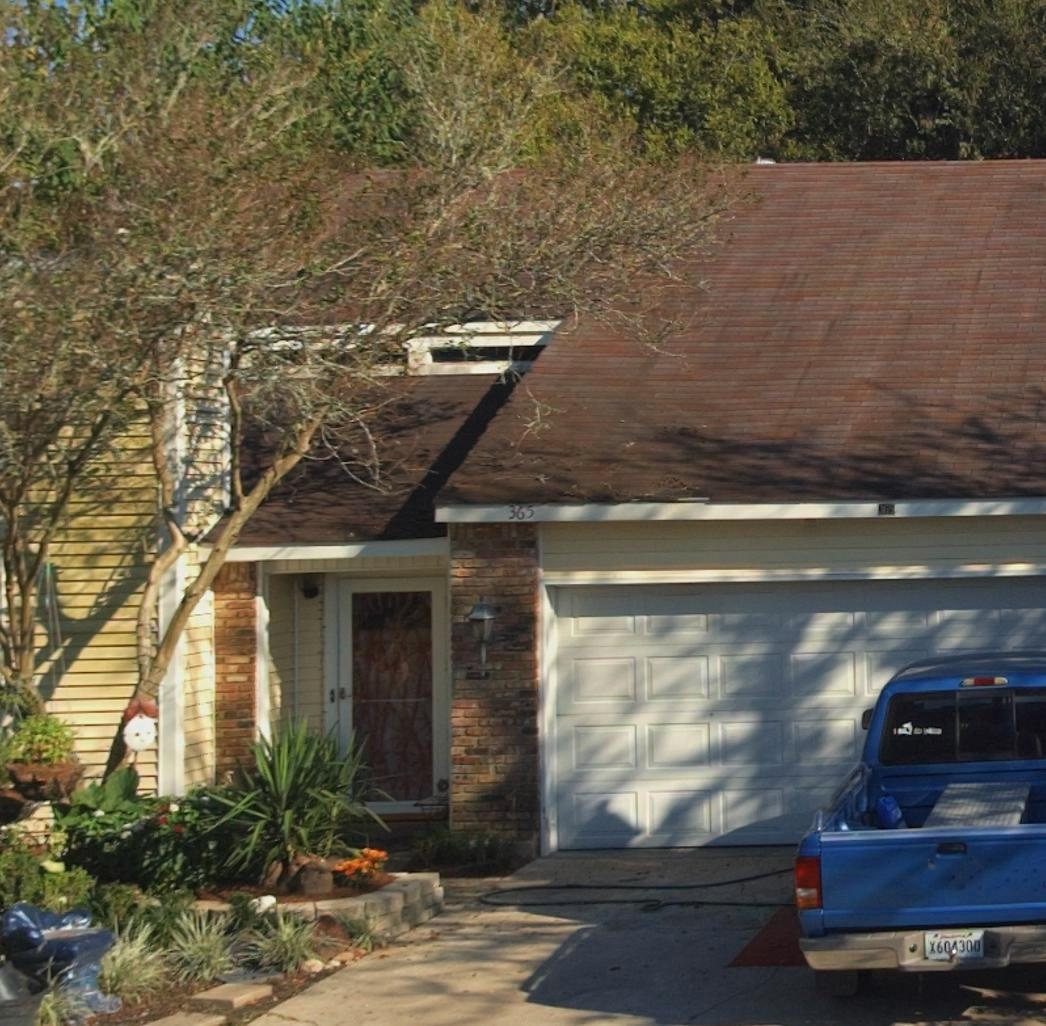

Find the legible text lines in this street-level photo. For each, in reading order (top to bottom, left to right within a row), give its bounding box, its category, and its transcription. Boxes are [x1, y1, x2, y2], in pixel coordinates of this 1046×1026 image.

[507, 504, 535, 520] StreetNumber: 365
[928, 938, 980, 955] None: X604300